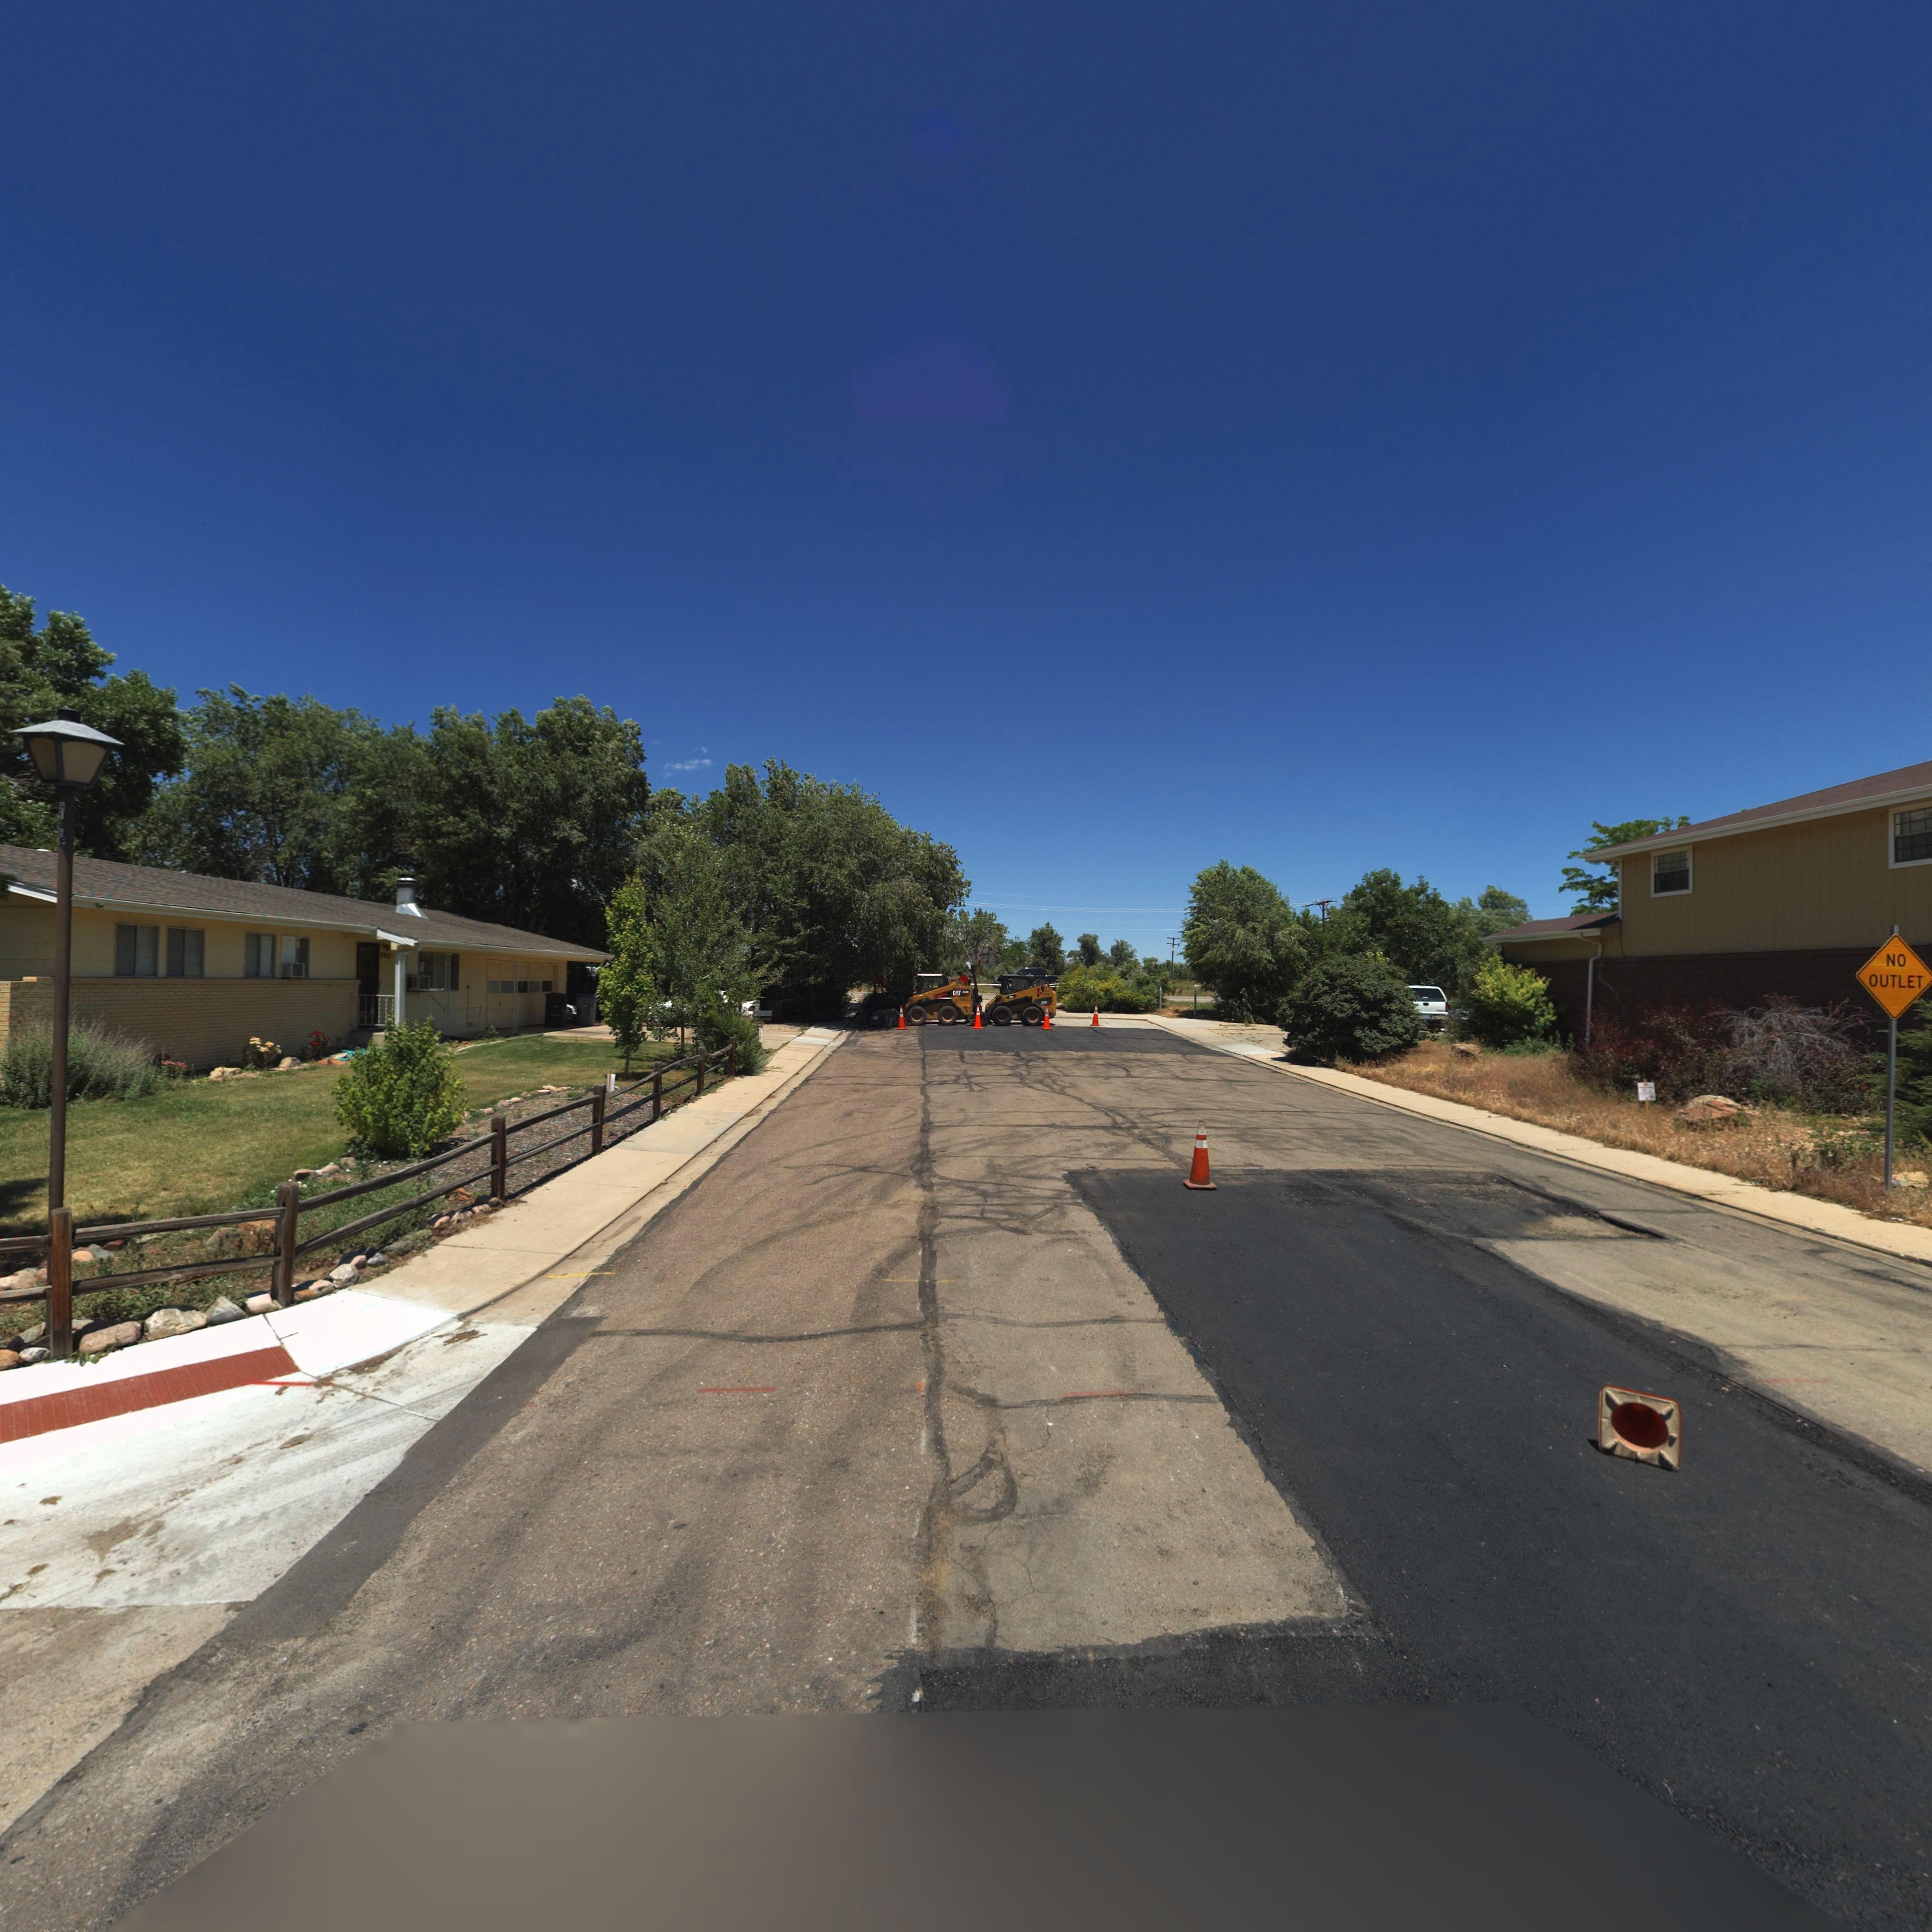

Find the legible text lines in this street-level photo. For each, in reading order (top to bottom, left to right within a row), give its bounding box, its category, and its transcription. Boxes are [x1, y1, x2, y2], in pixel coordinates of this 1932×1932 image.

[379, 951, 392, 959] StreetNumber: 2*32